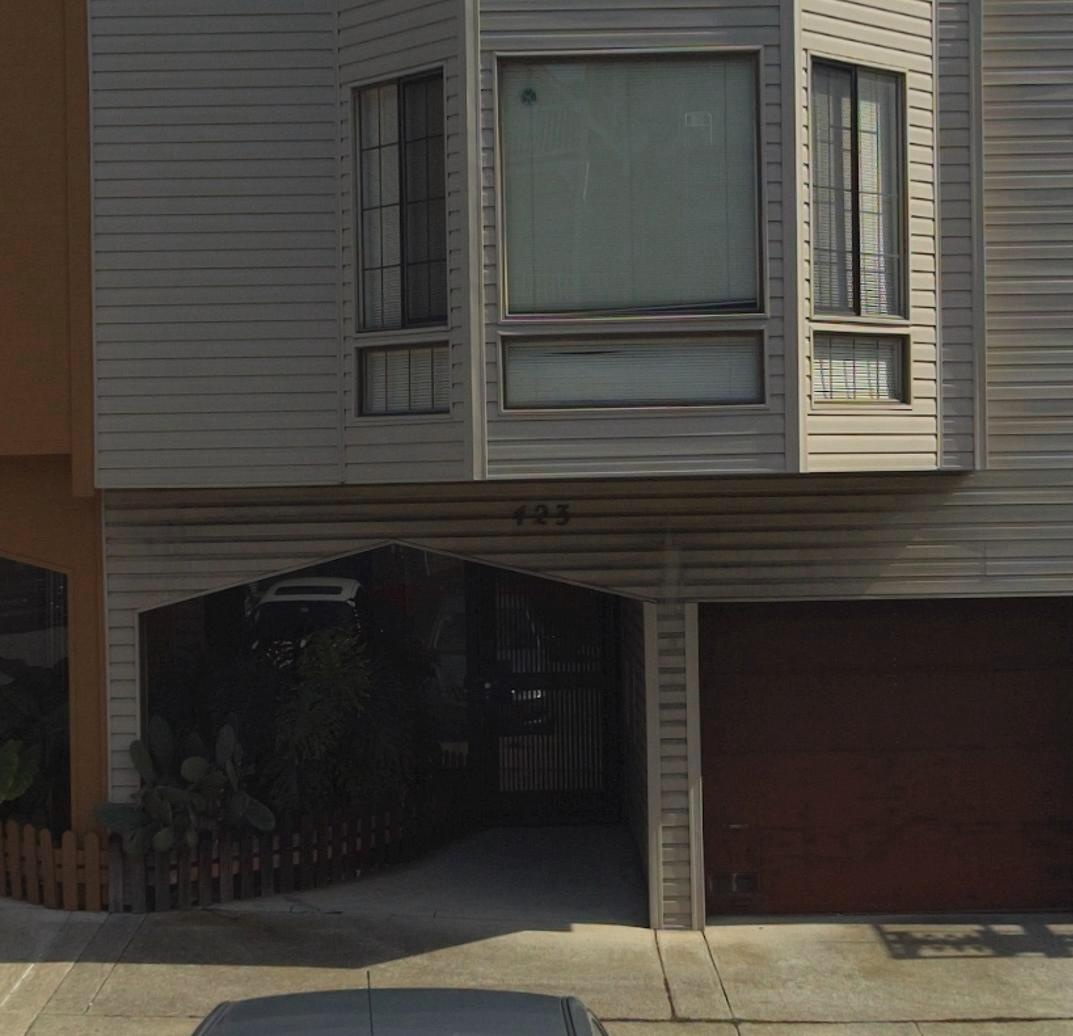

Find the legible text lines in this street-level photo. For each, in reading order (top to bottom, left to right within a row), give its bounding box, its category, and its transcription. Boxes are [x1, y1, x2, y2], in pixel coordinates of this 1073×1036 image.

[510, 503, 572, 528] StreetNumber: 423